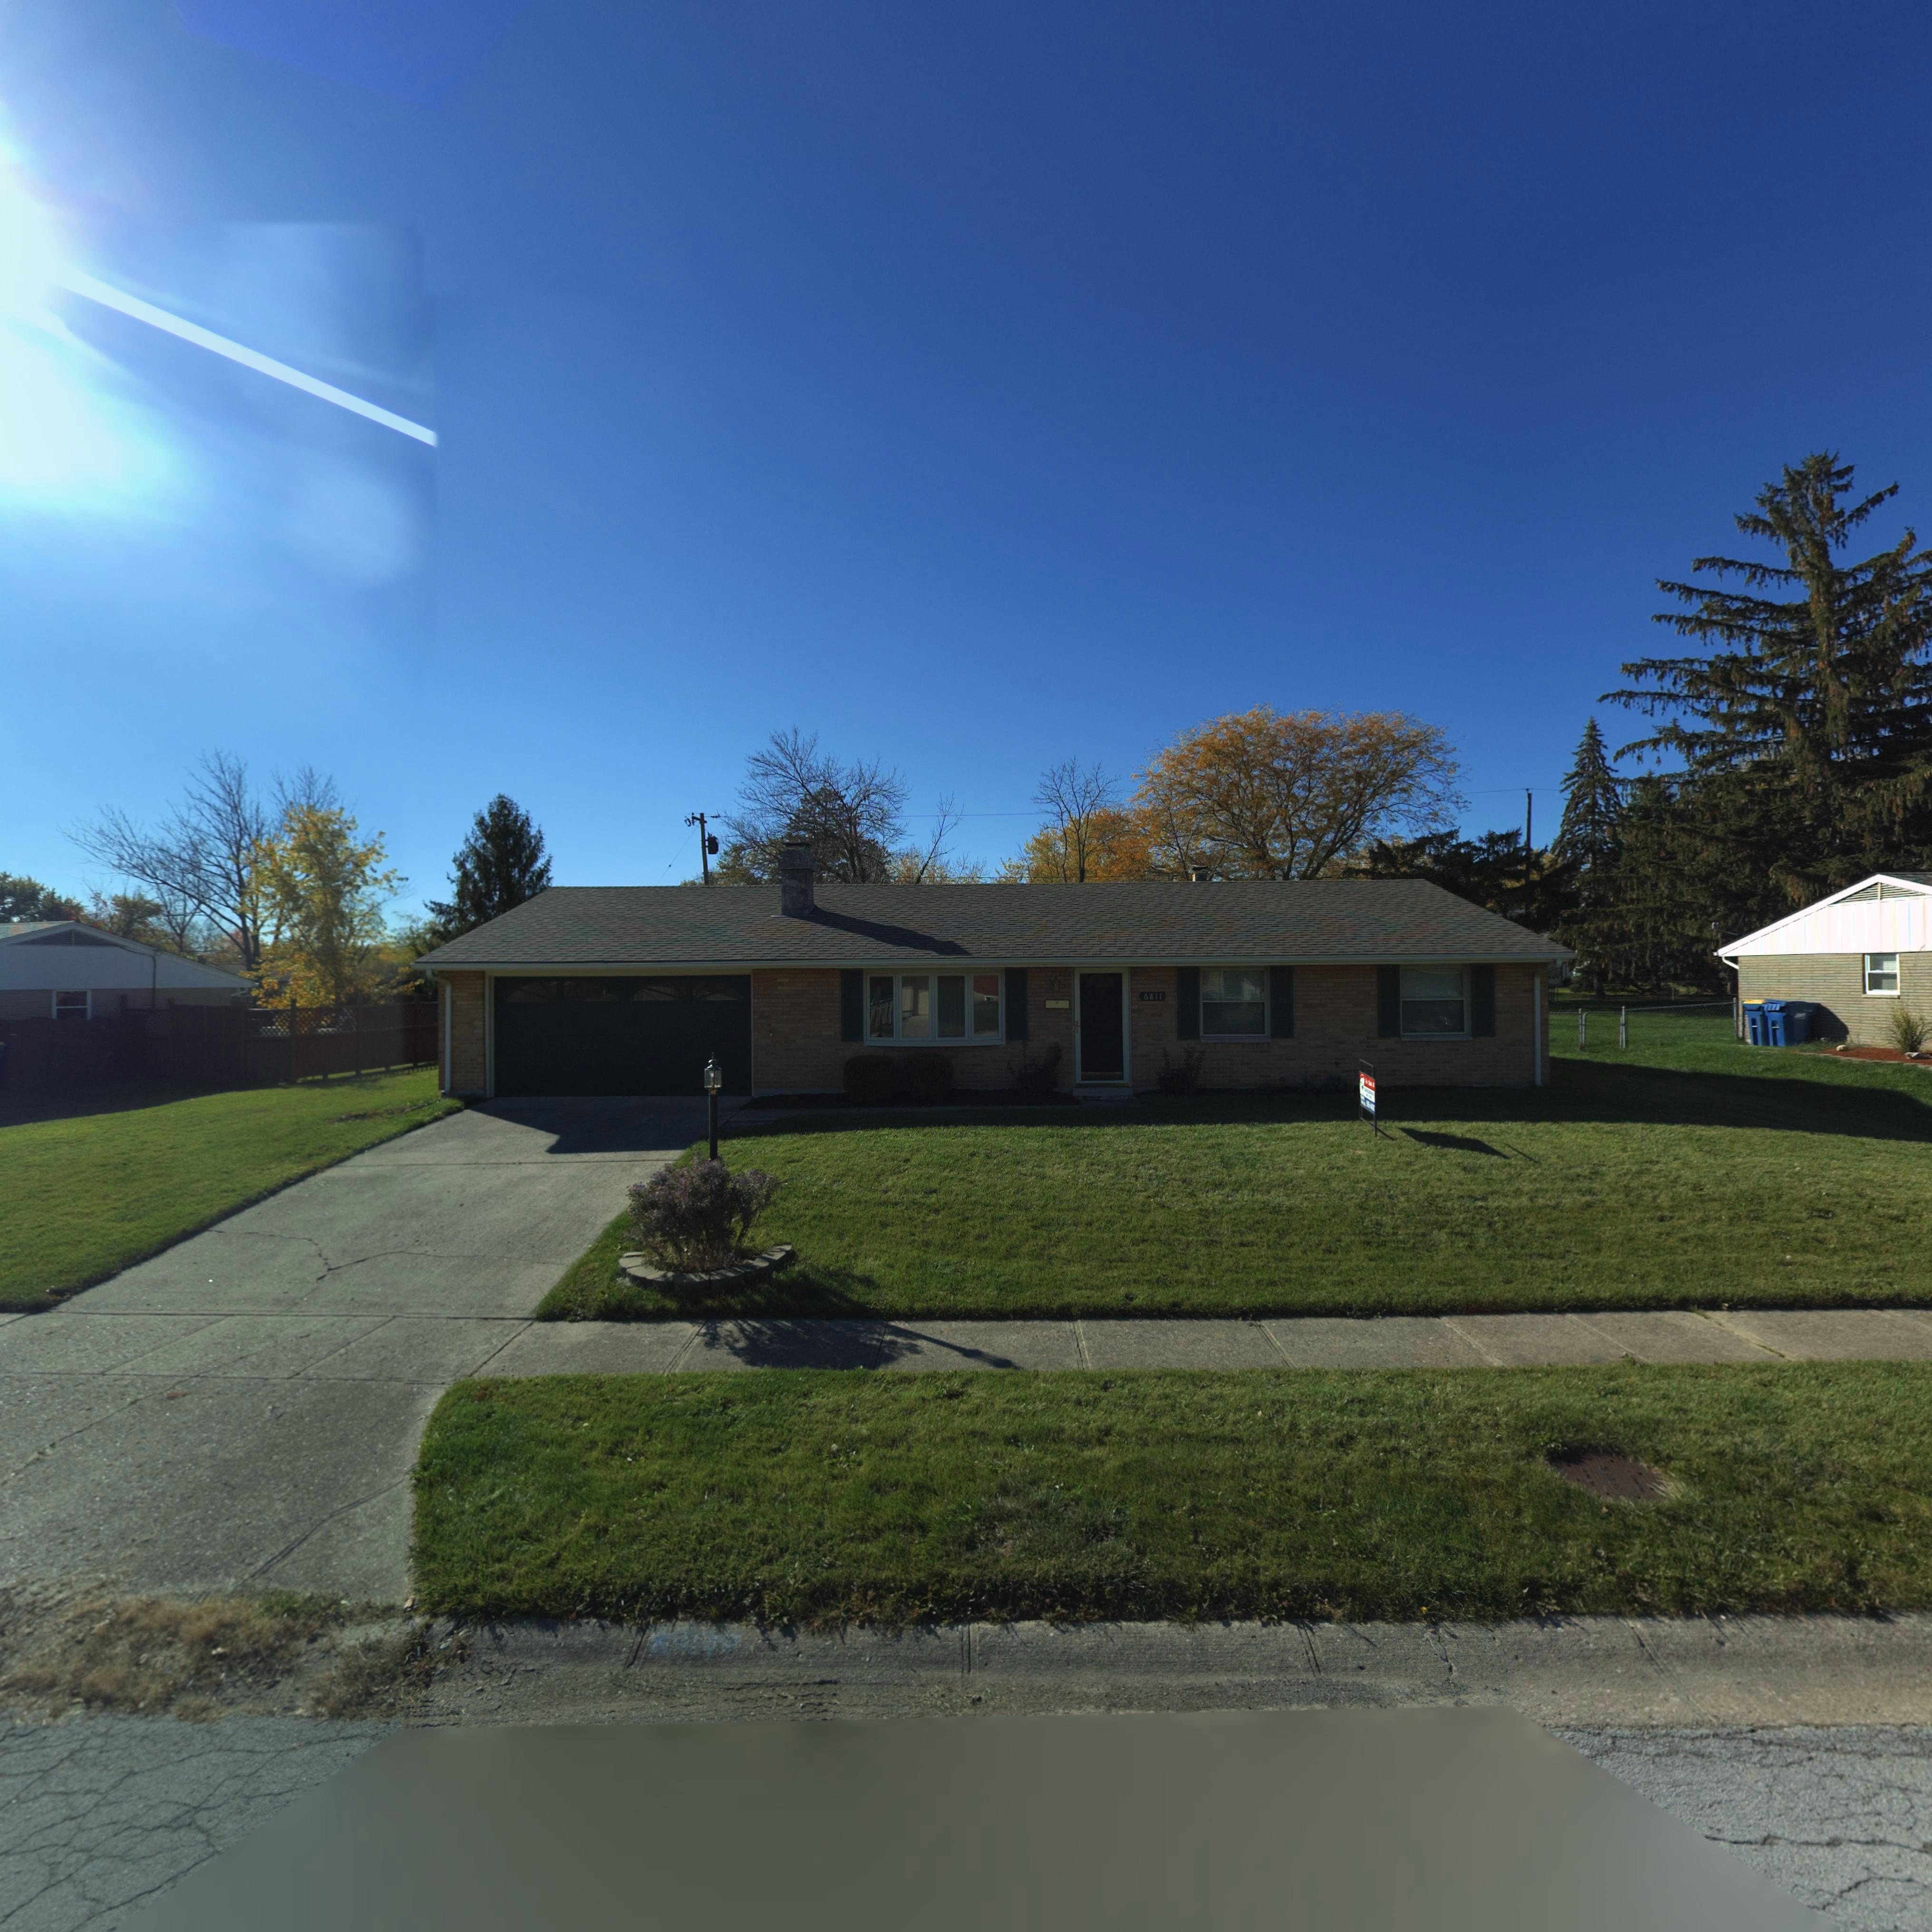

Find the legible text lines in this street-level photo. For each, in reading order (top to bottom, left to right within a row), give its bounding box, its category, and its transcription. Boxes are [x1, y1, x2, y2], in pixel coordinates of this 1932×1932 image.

[1143, 993, 1162, 1000] StreetNumber: 6811